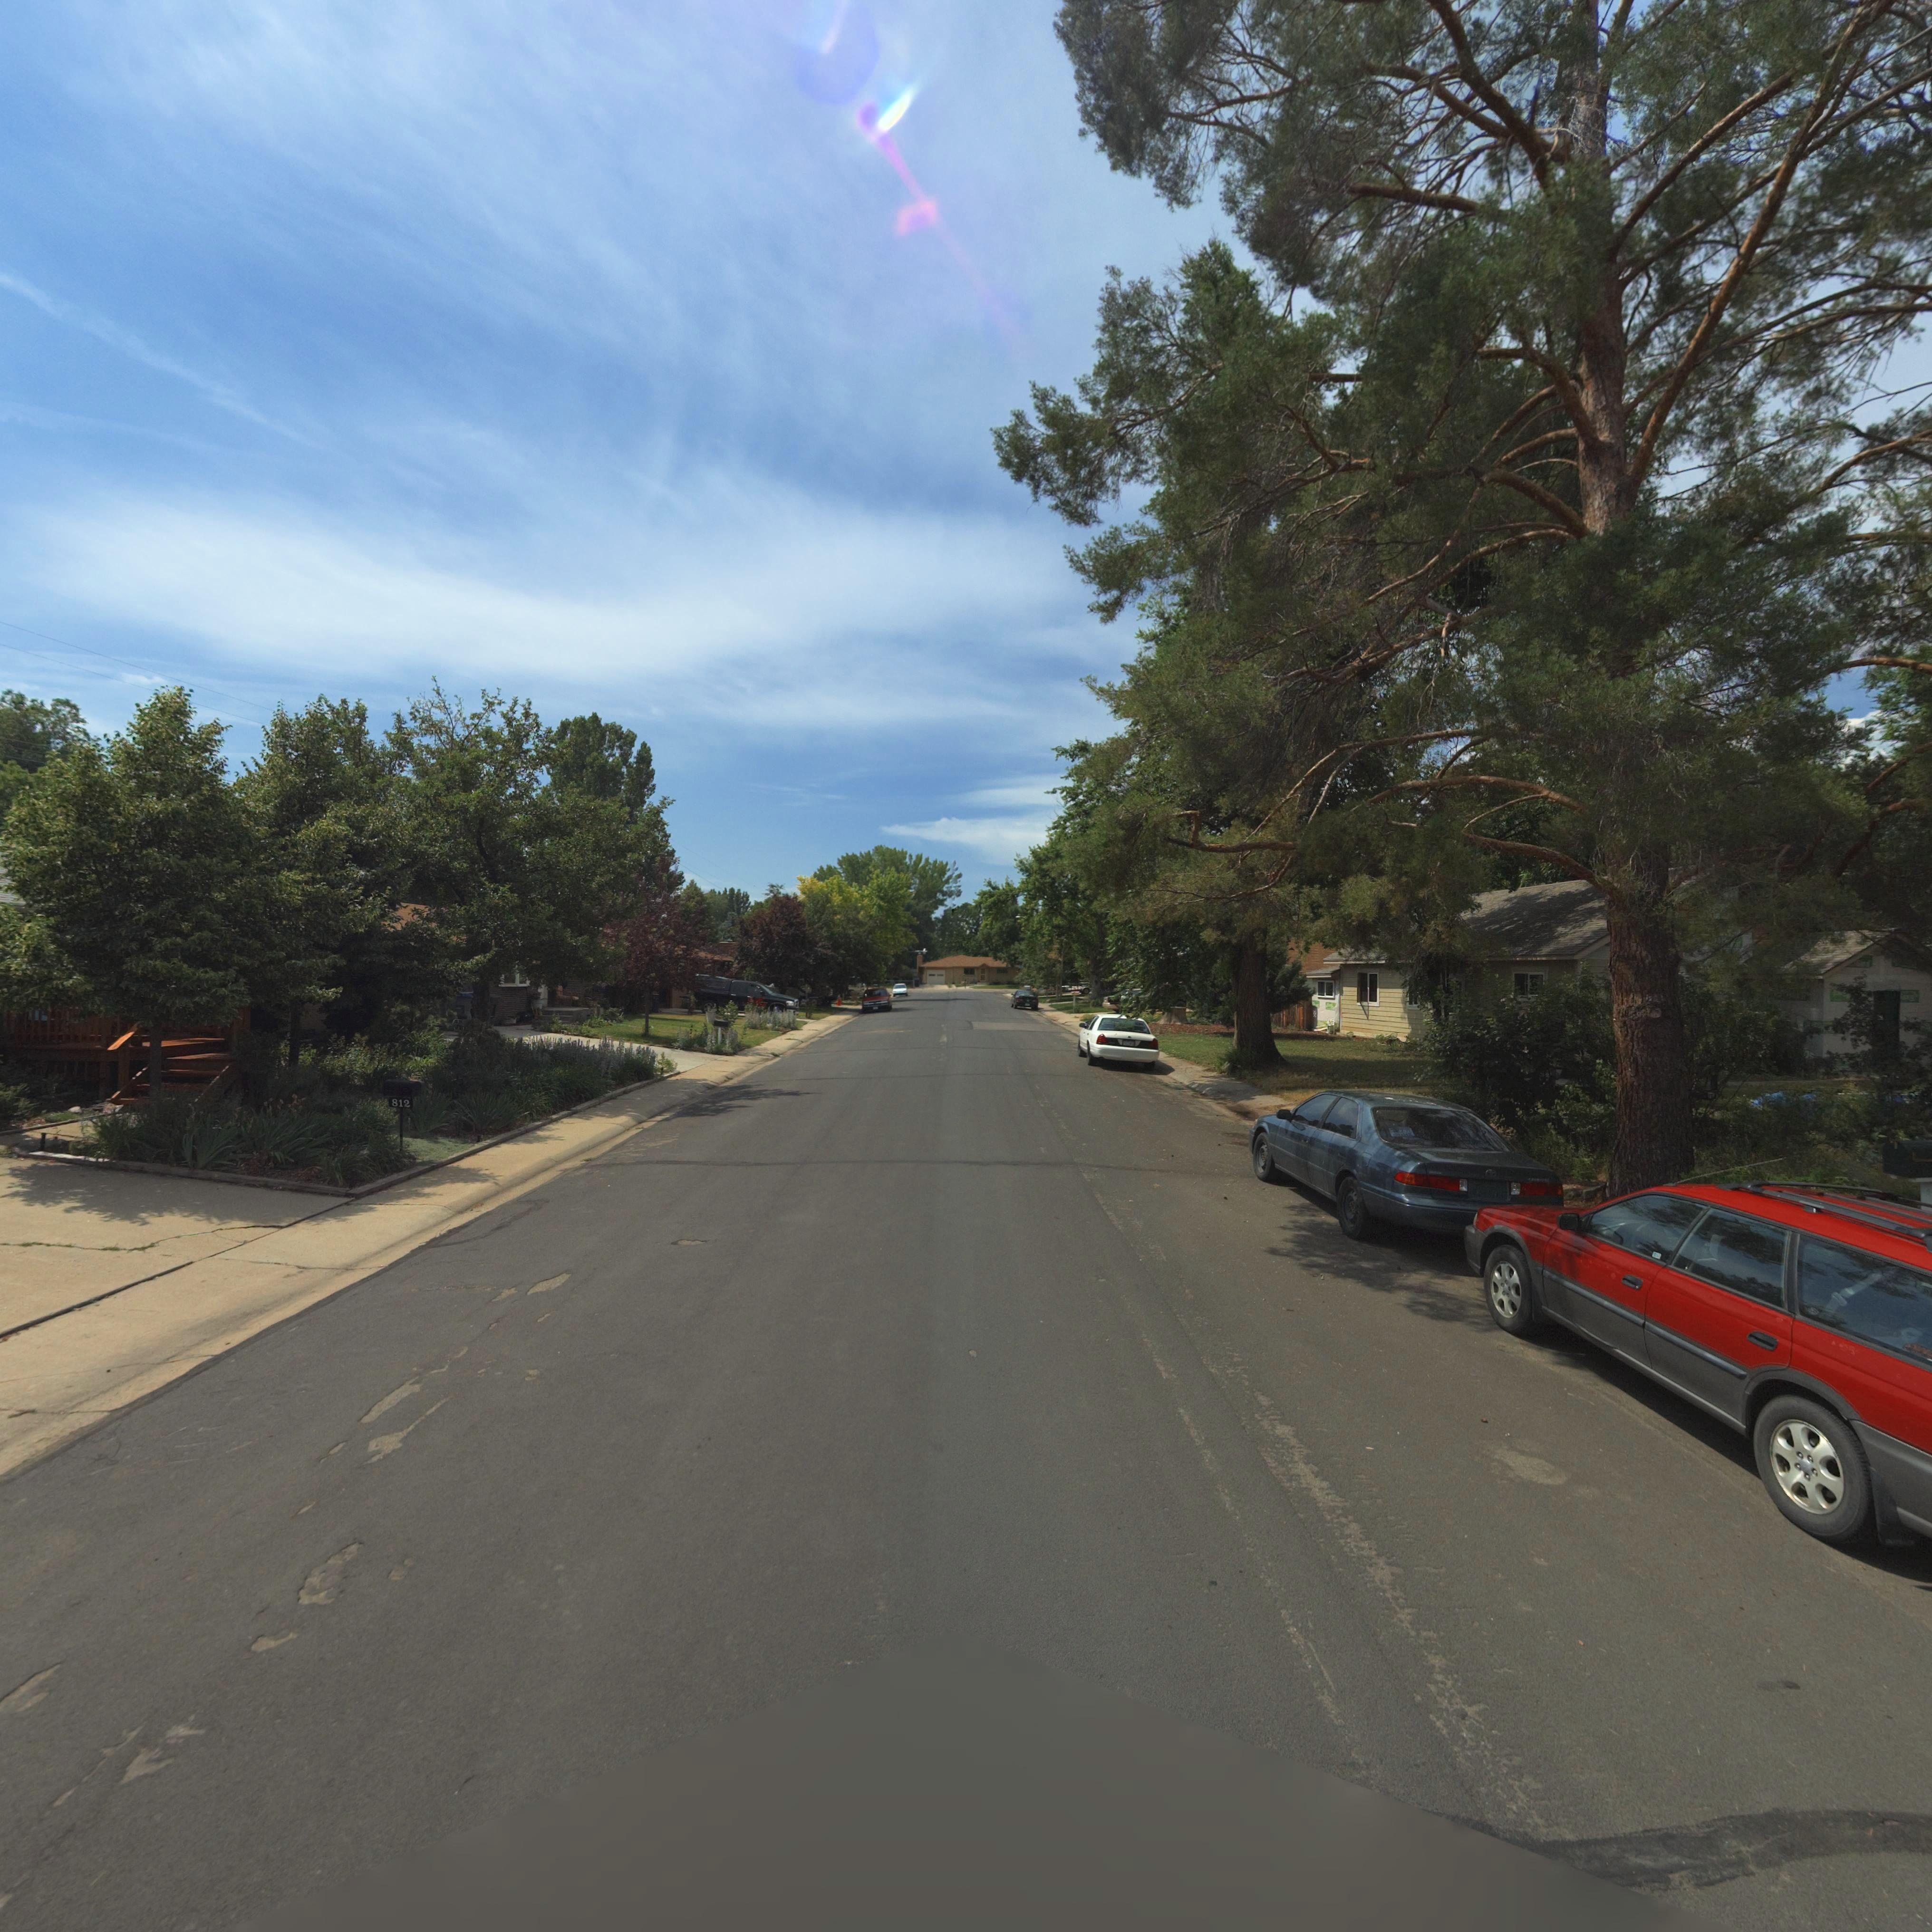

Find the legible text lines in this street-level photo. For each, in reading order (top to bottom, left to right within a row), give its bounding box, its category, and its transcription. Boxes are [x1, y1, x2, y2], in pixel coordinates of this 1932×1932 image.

[392, 1098, 410, 1107] StreetNumber: 812